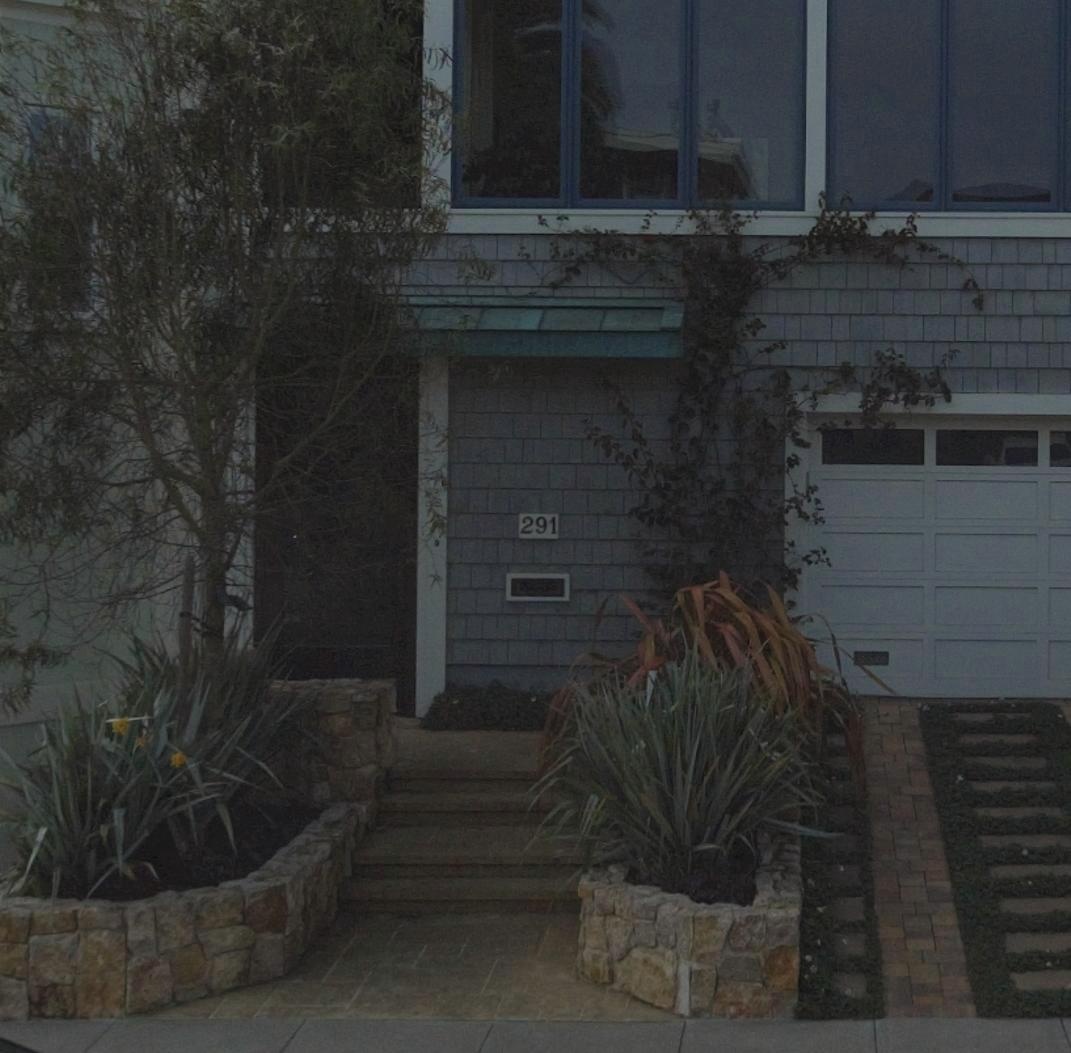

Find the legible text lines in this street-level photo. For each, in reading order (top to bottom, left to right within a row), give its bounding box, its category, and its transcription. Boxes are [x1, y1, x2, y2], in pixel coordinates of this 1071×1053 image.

[519, 515, 558, 535] StreetNumber: 291